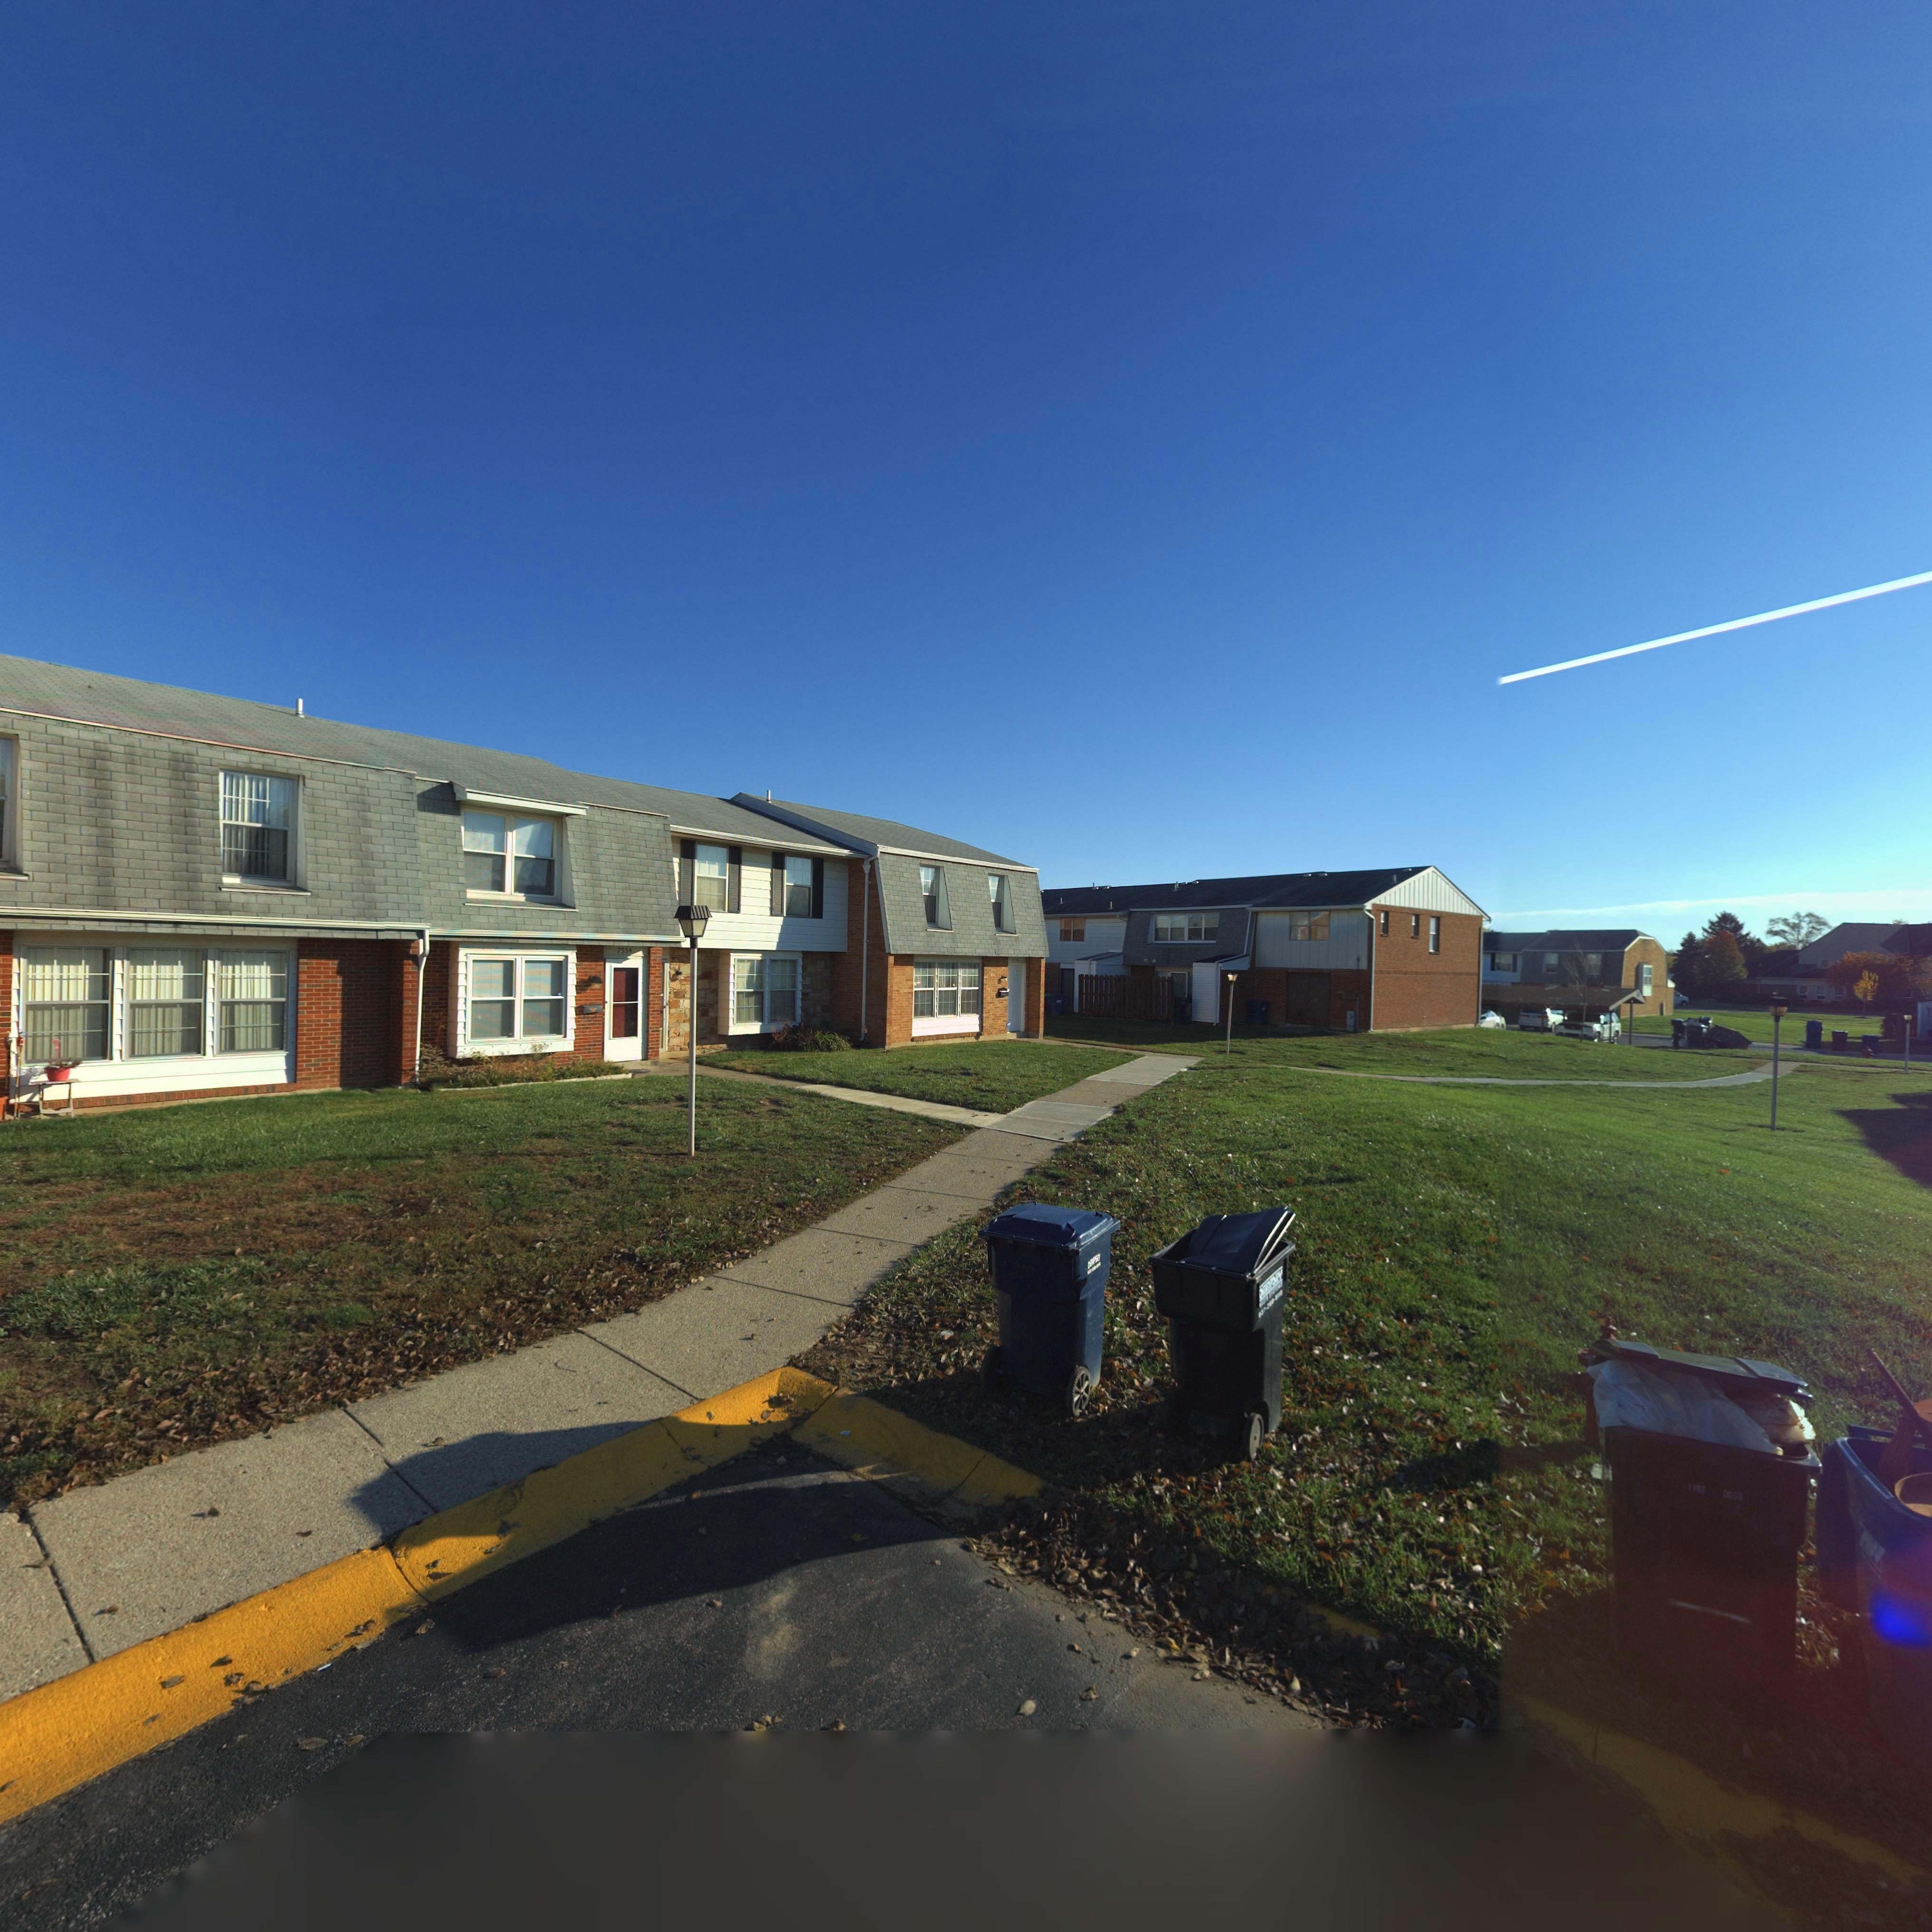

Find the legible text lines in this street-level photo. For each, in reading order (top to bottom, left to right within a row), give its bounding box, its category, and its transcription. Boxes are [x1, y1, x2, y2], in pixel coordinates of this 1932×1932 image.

[616, 947, 633, 955] StreetNumber: 7554